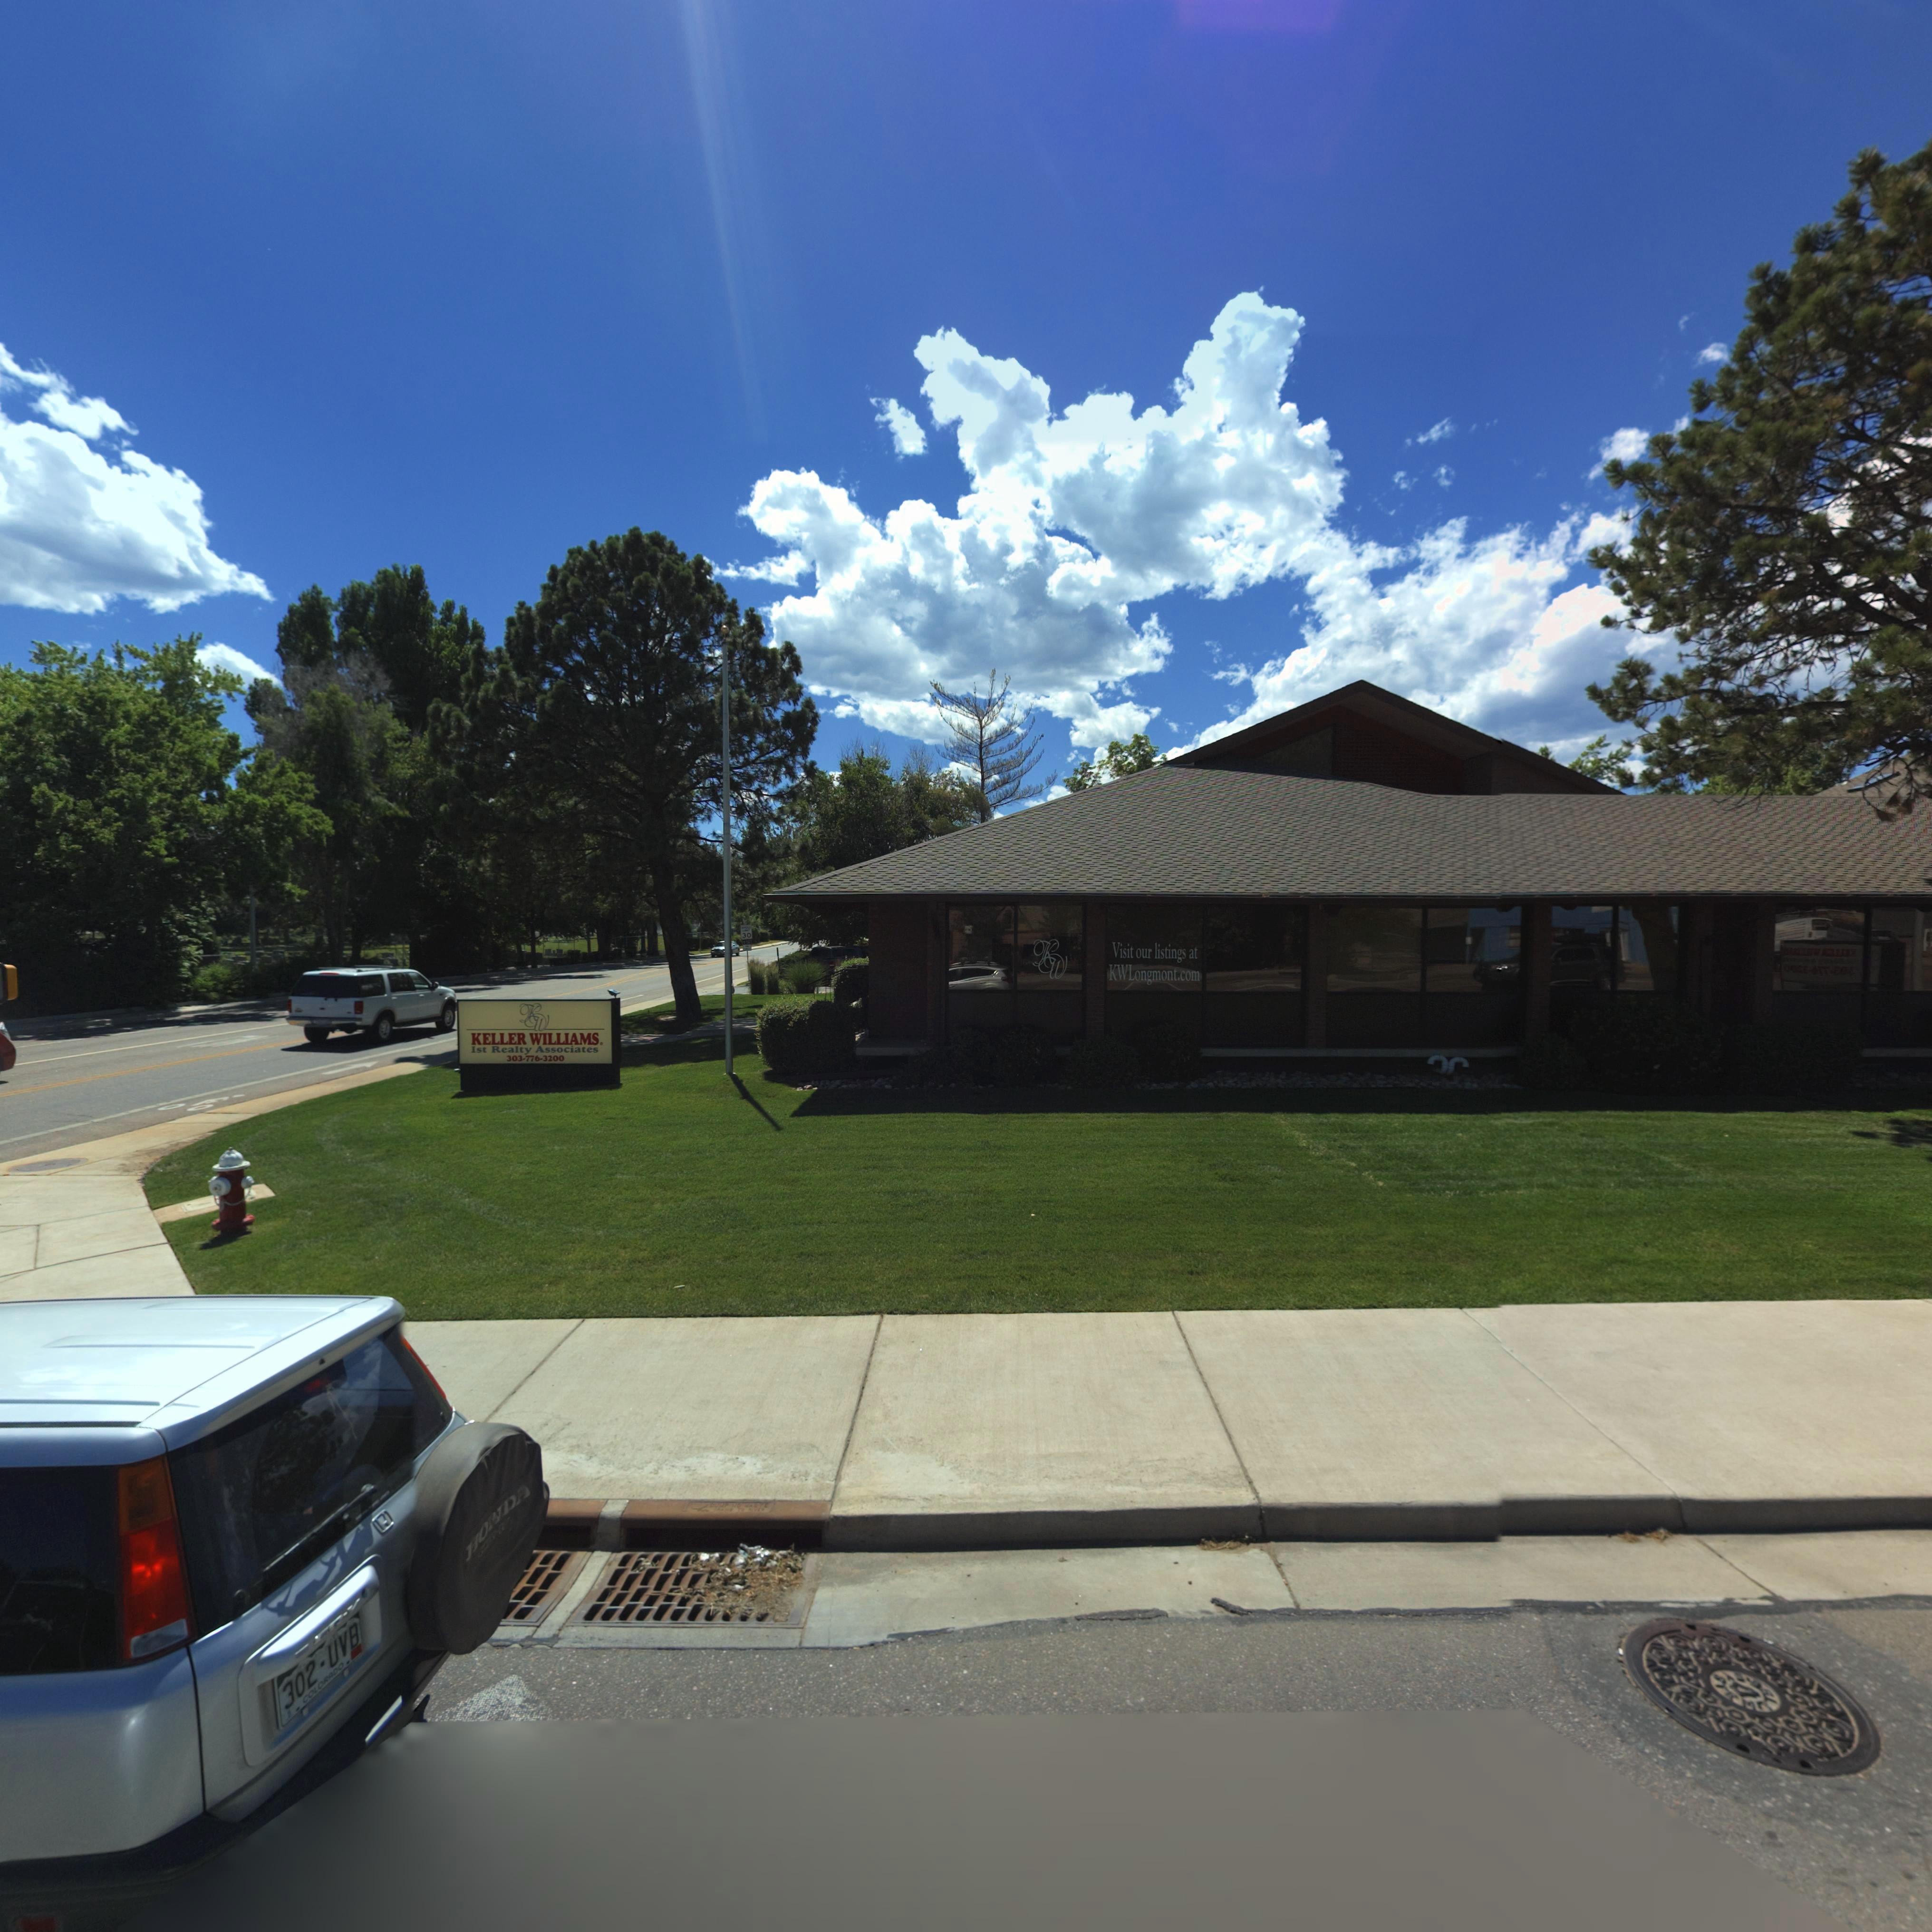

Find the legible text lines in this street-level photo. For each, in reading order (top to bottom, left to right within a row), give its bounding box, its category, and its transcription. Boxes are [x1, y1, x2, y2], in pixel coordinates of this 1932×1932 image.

[1038, 940, 1059, 966] BusinessName: K
[1048, 954, 1069, 980] BusinessName: W
[470, 1045, 599, 1055] BusinessName: 1st Realty Associates
[470, 1032, 600, 1045] BusinessName: KELLER WILLIAMS